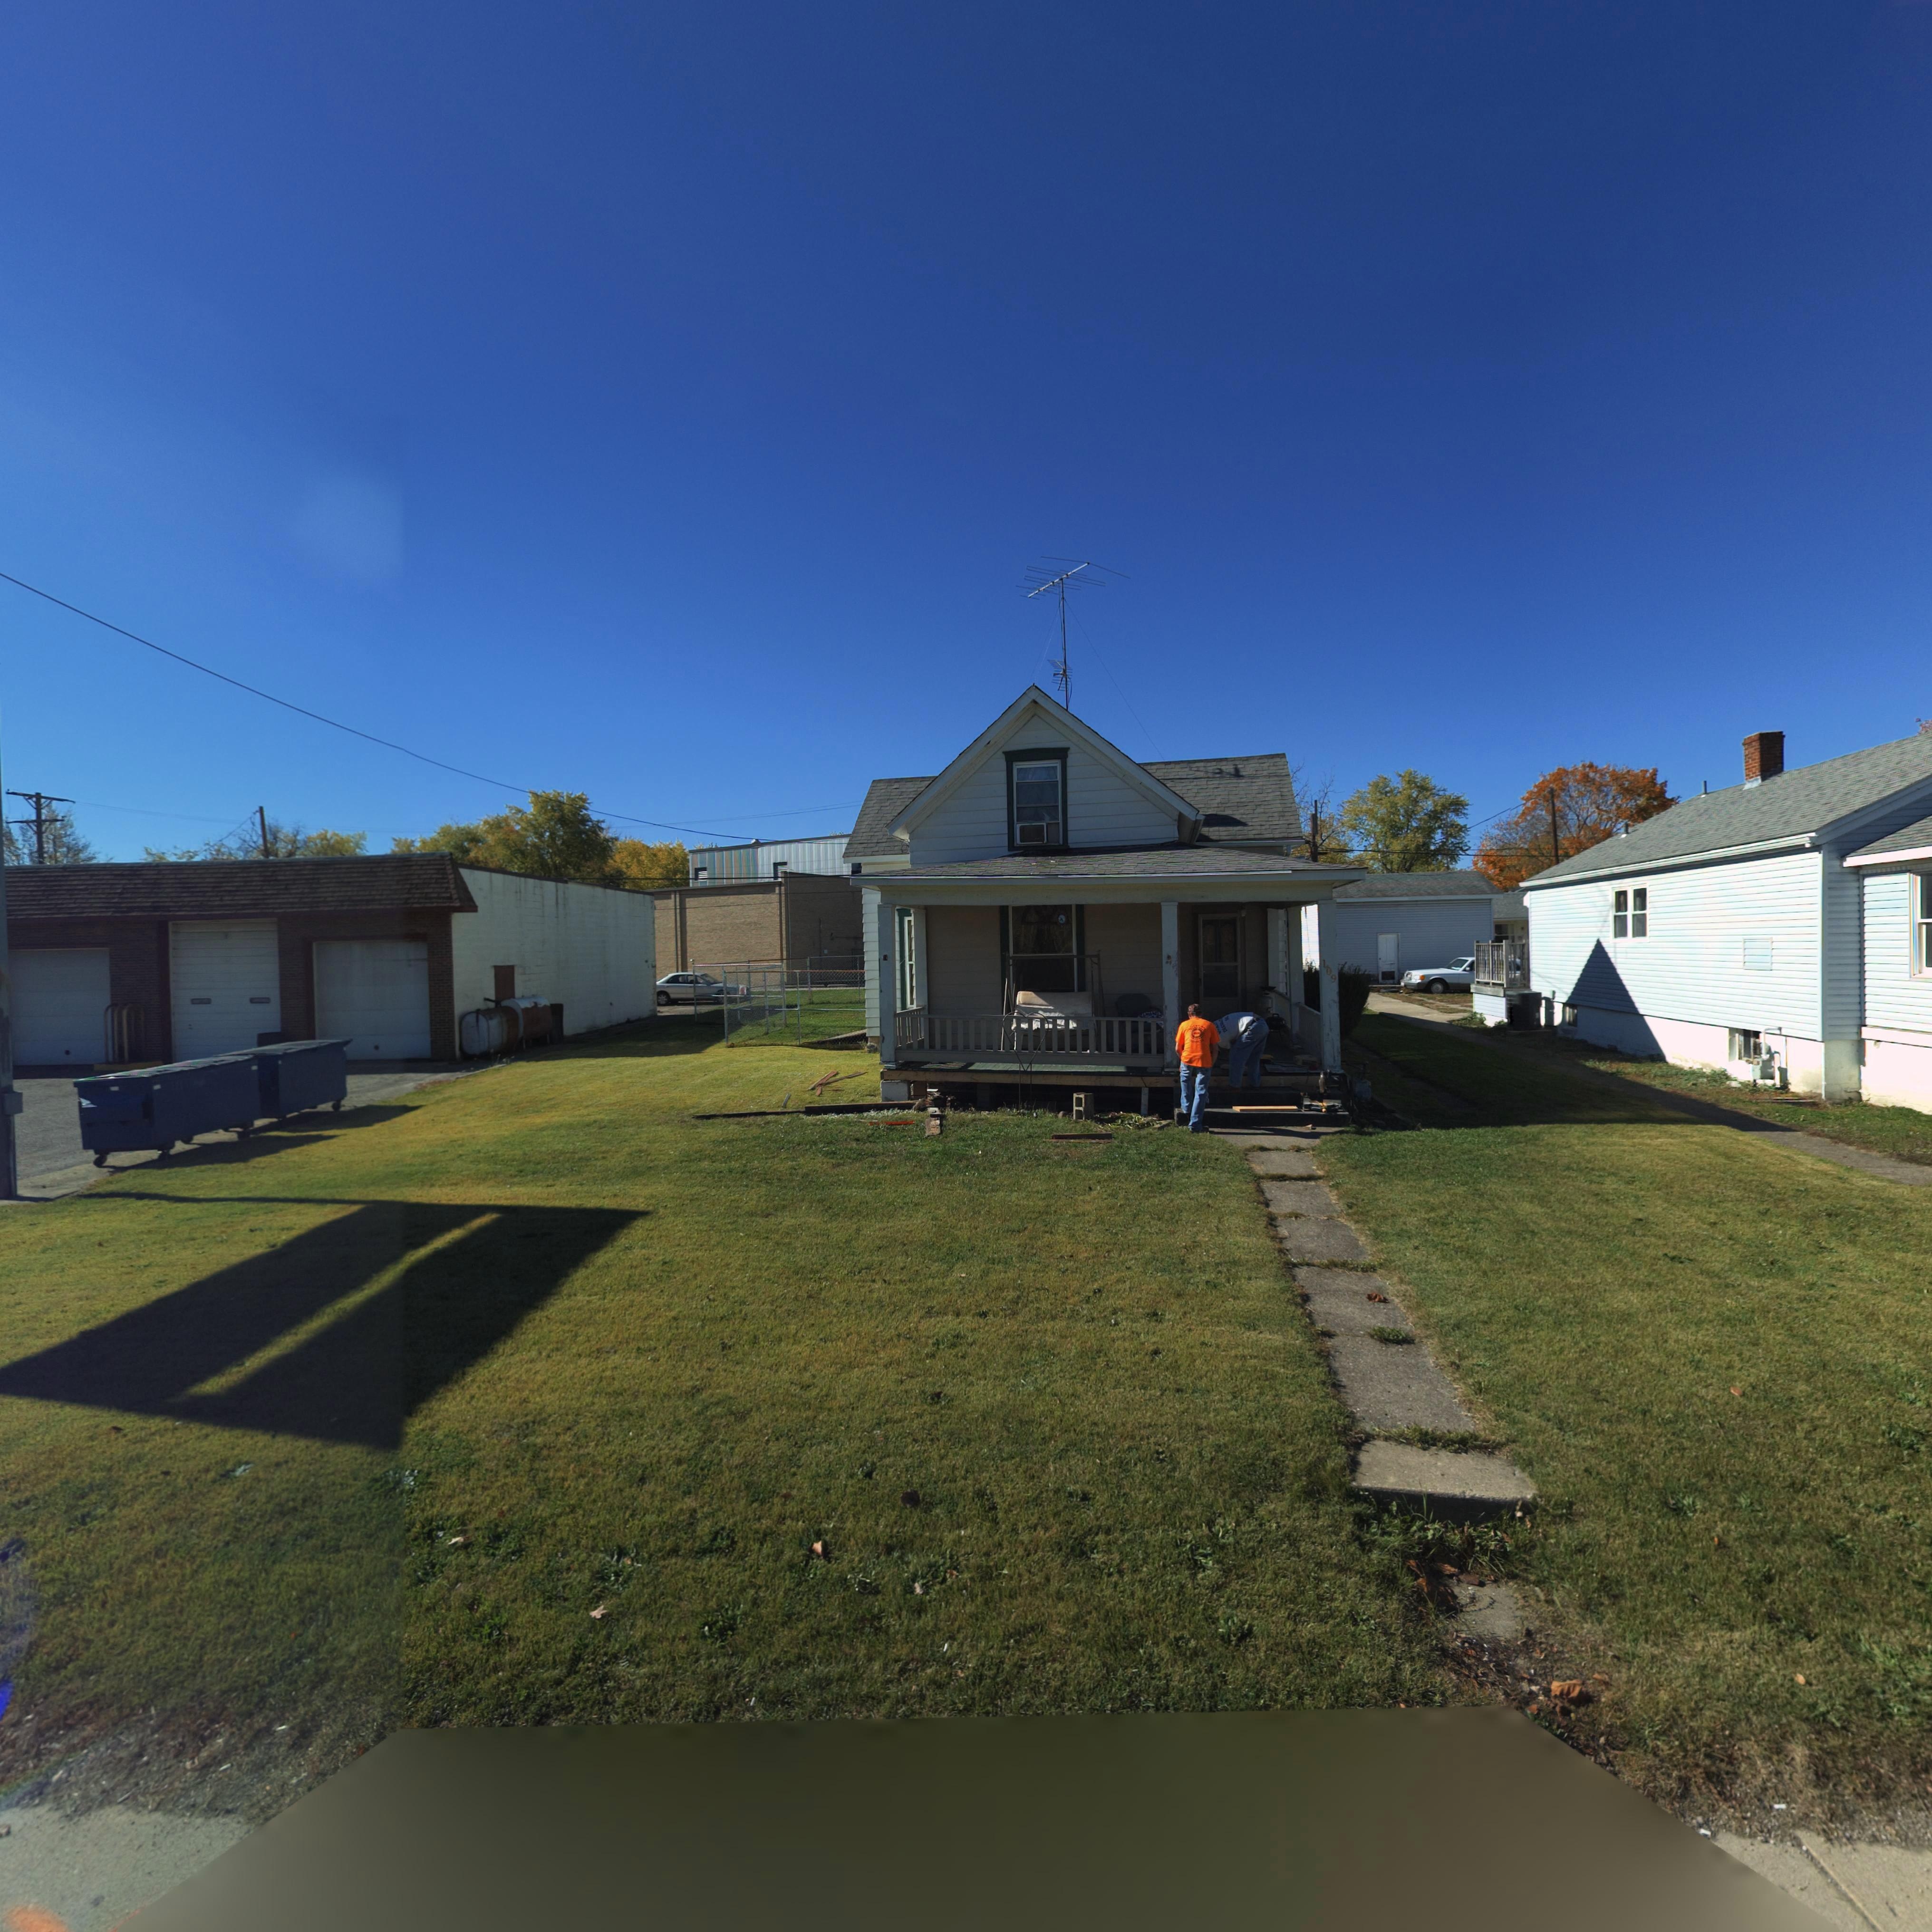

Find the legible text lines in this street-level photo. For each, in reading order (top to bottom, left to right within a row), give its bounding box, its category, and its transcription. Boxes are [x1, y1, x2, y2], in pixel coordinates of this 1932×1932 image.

[1322, 959, 1337, 984] StreetNumber: 109